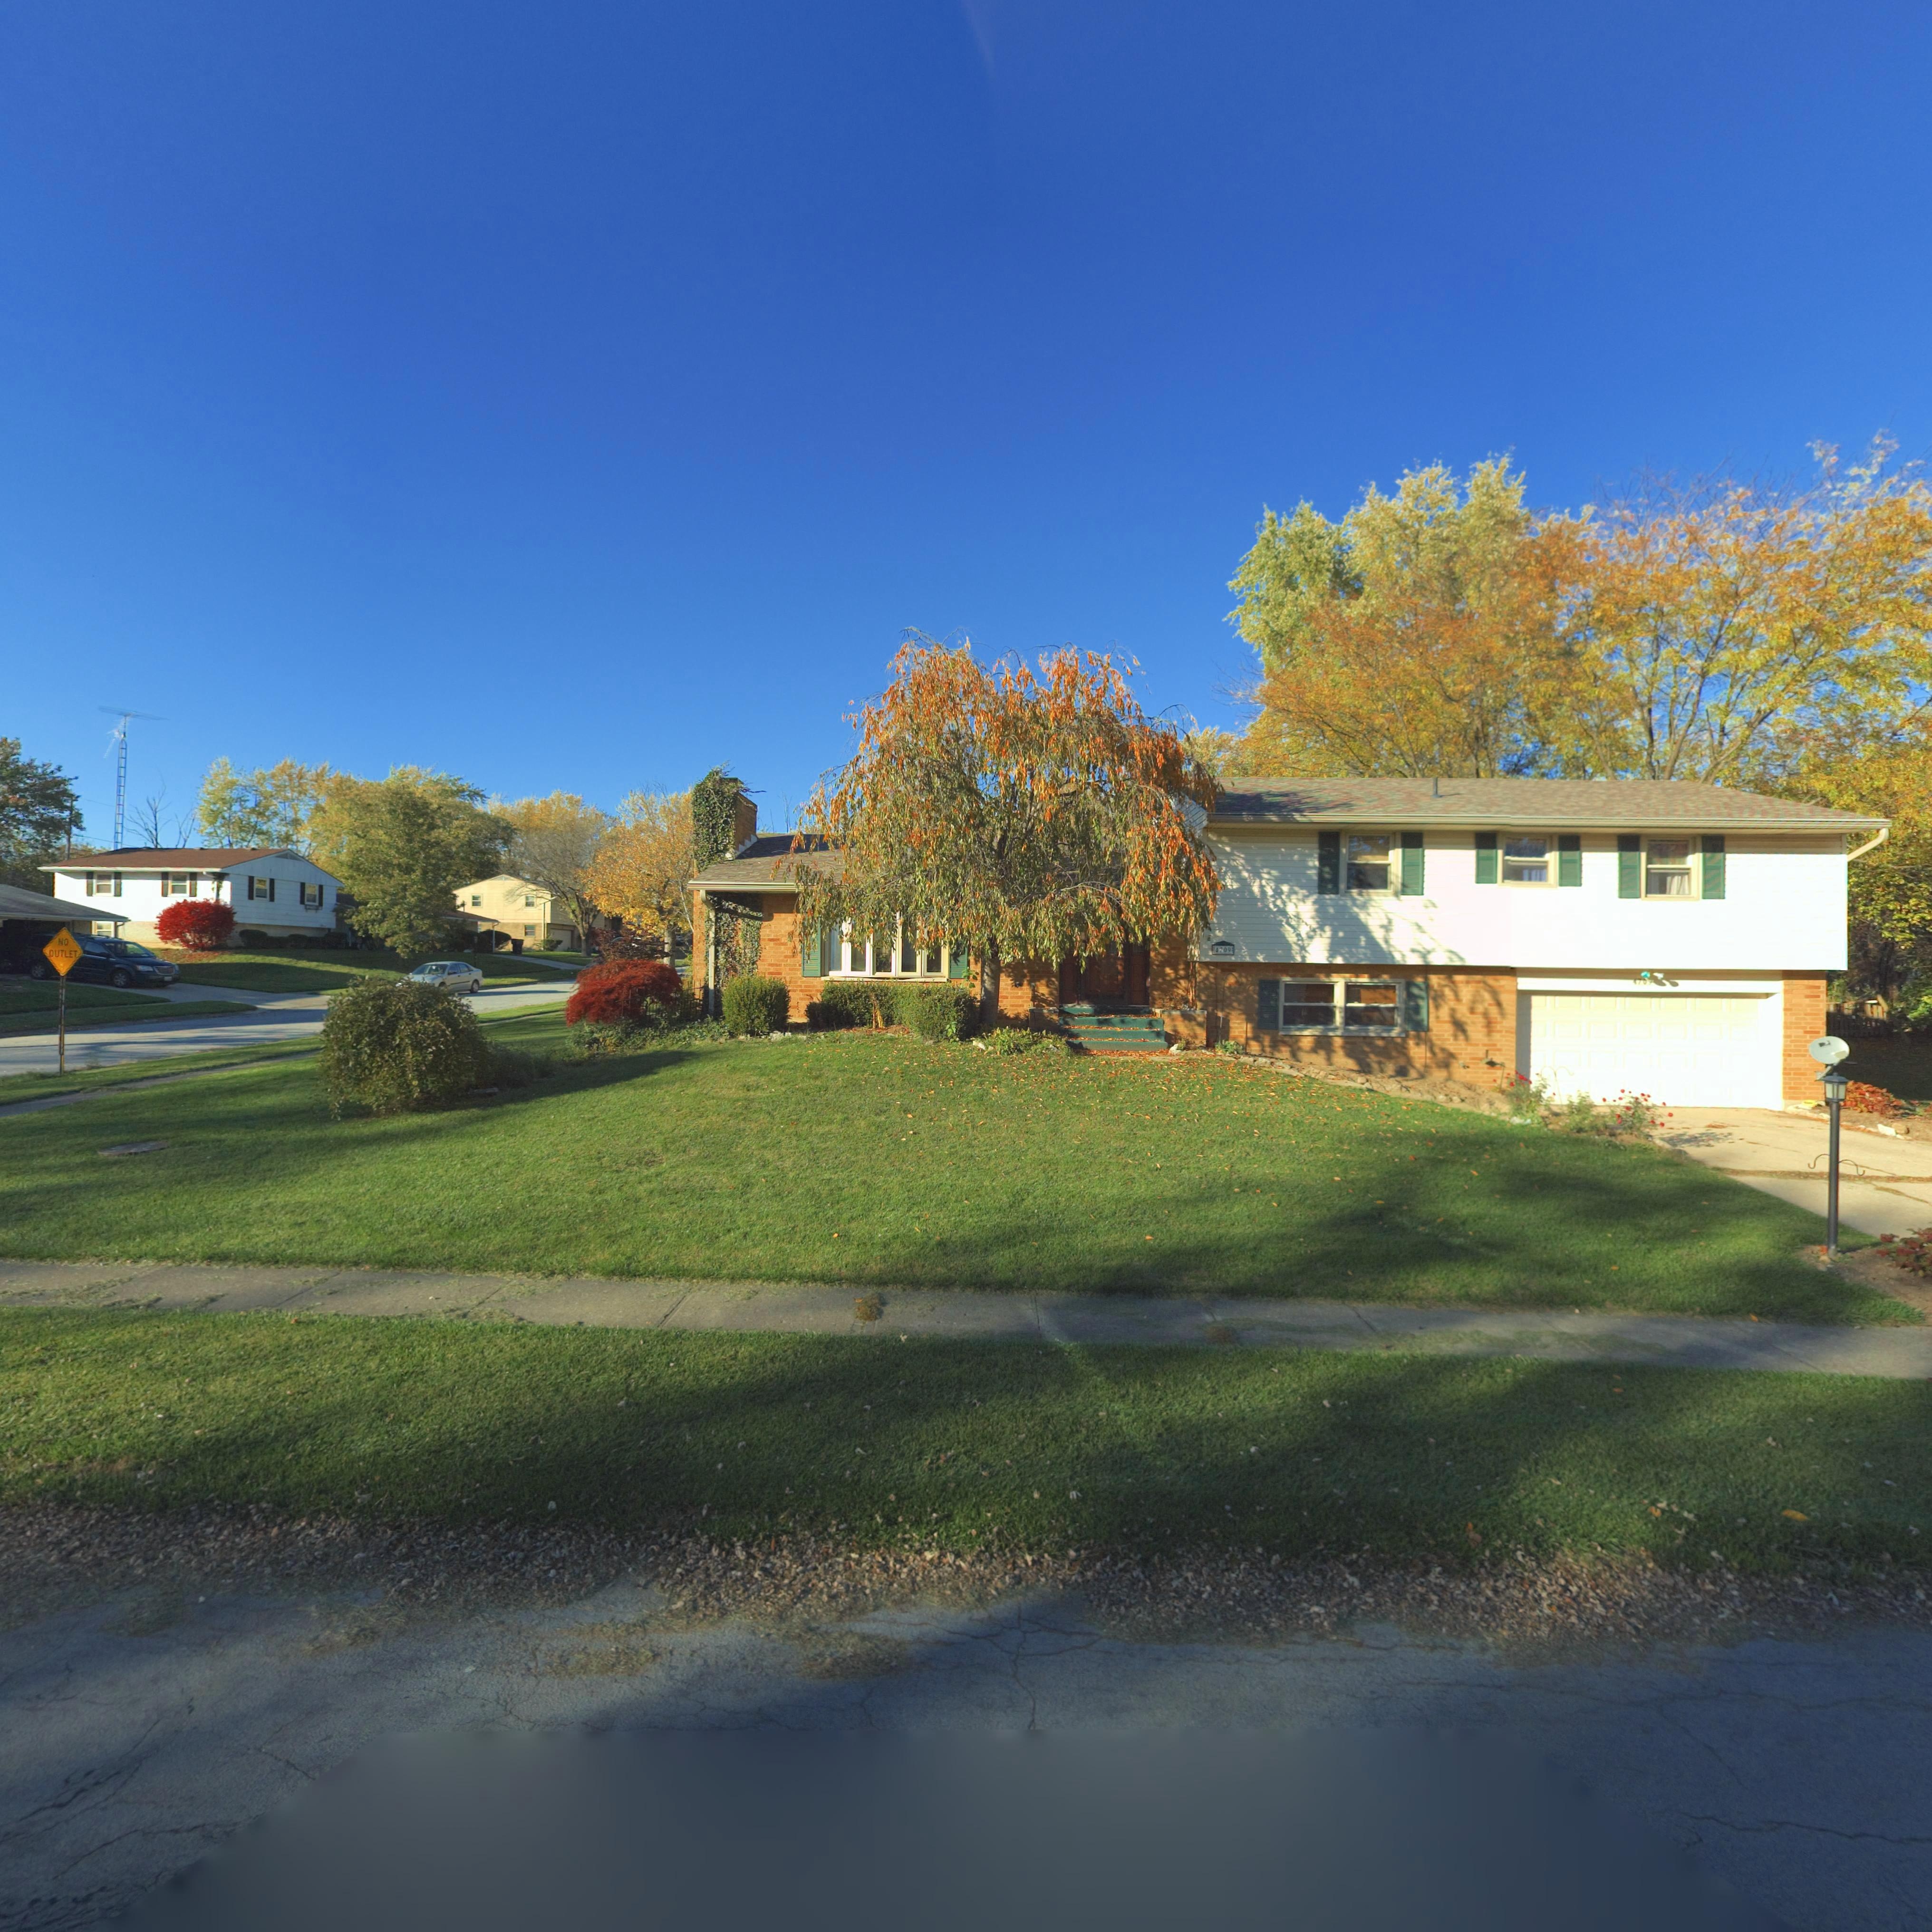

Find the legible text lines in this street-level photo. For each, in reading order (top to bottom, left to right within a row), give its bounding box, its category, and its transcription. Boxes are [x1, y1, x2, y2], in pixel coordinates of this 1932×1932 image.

[1214, 946, 1232, 954] StreetNumber: 4709
[1632, 977, 1654, 986] StreetNumber: 4709